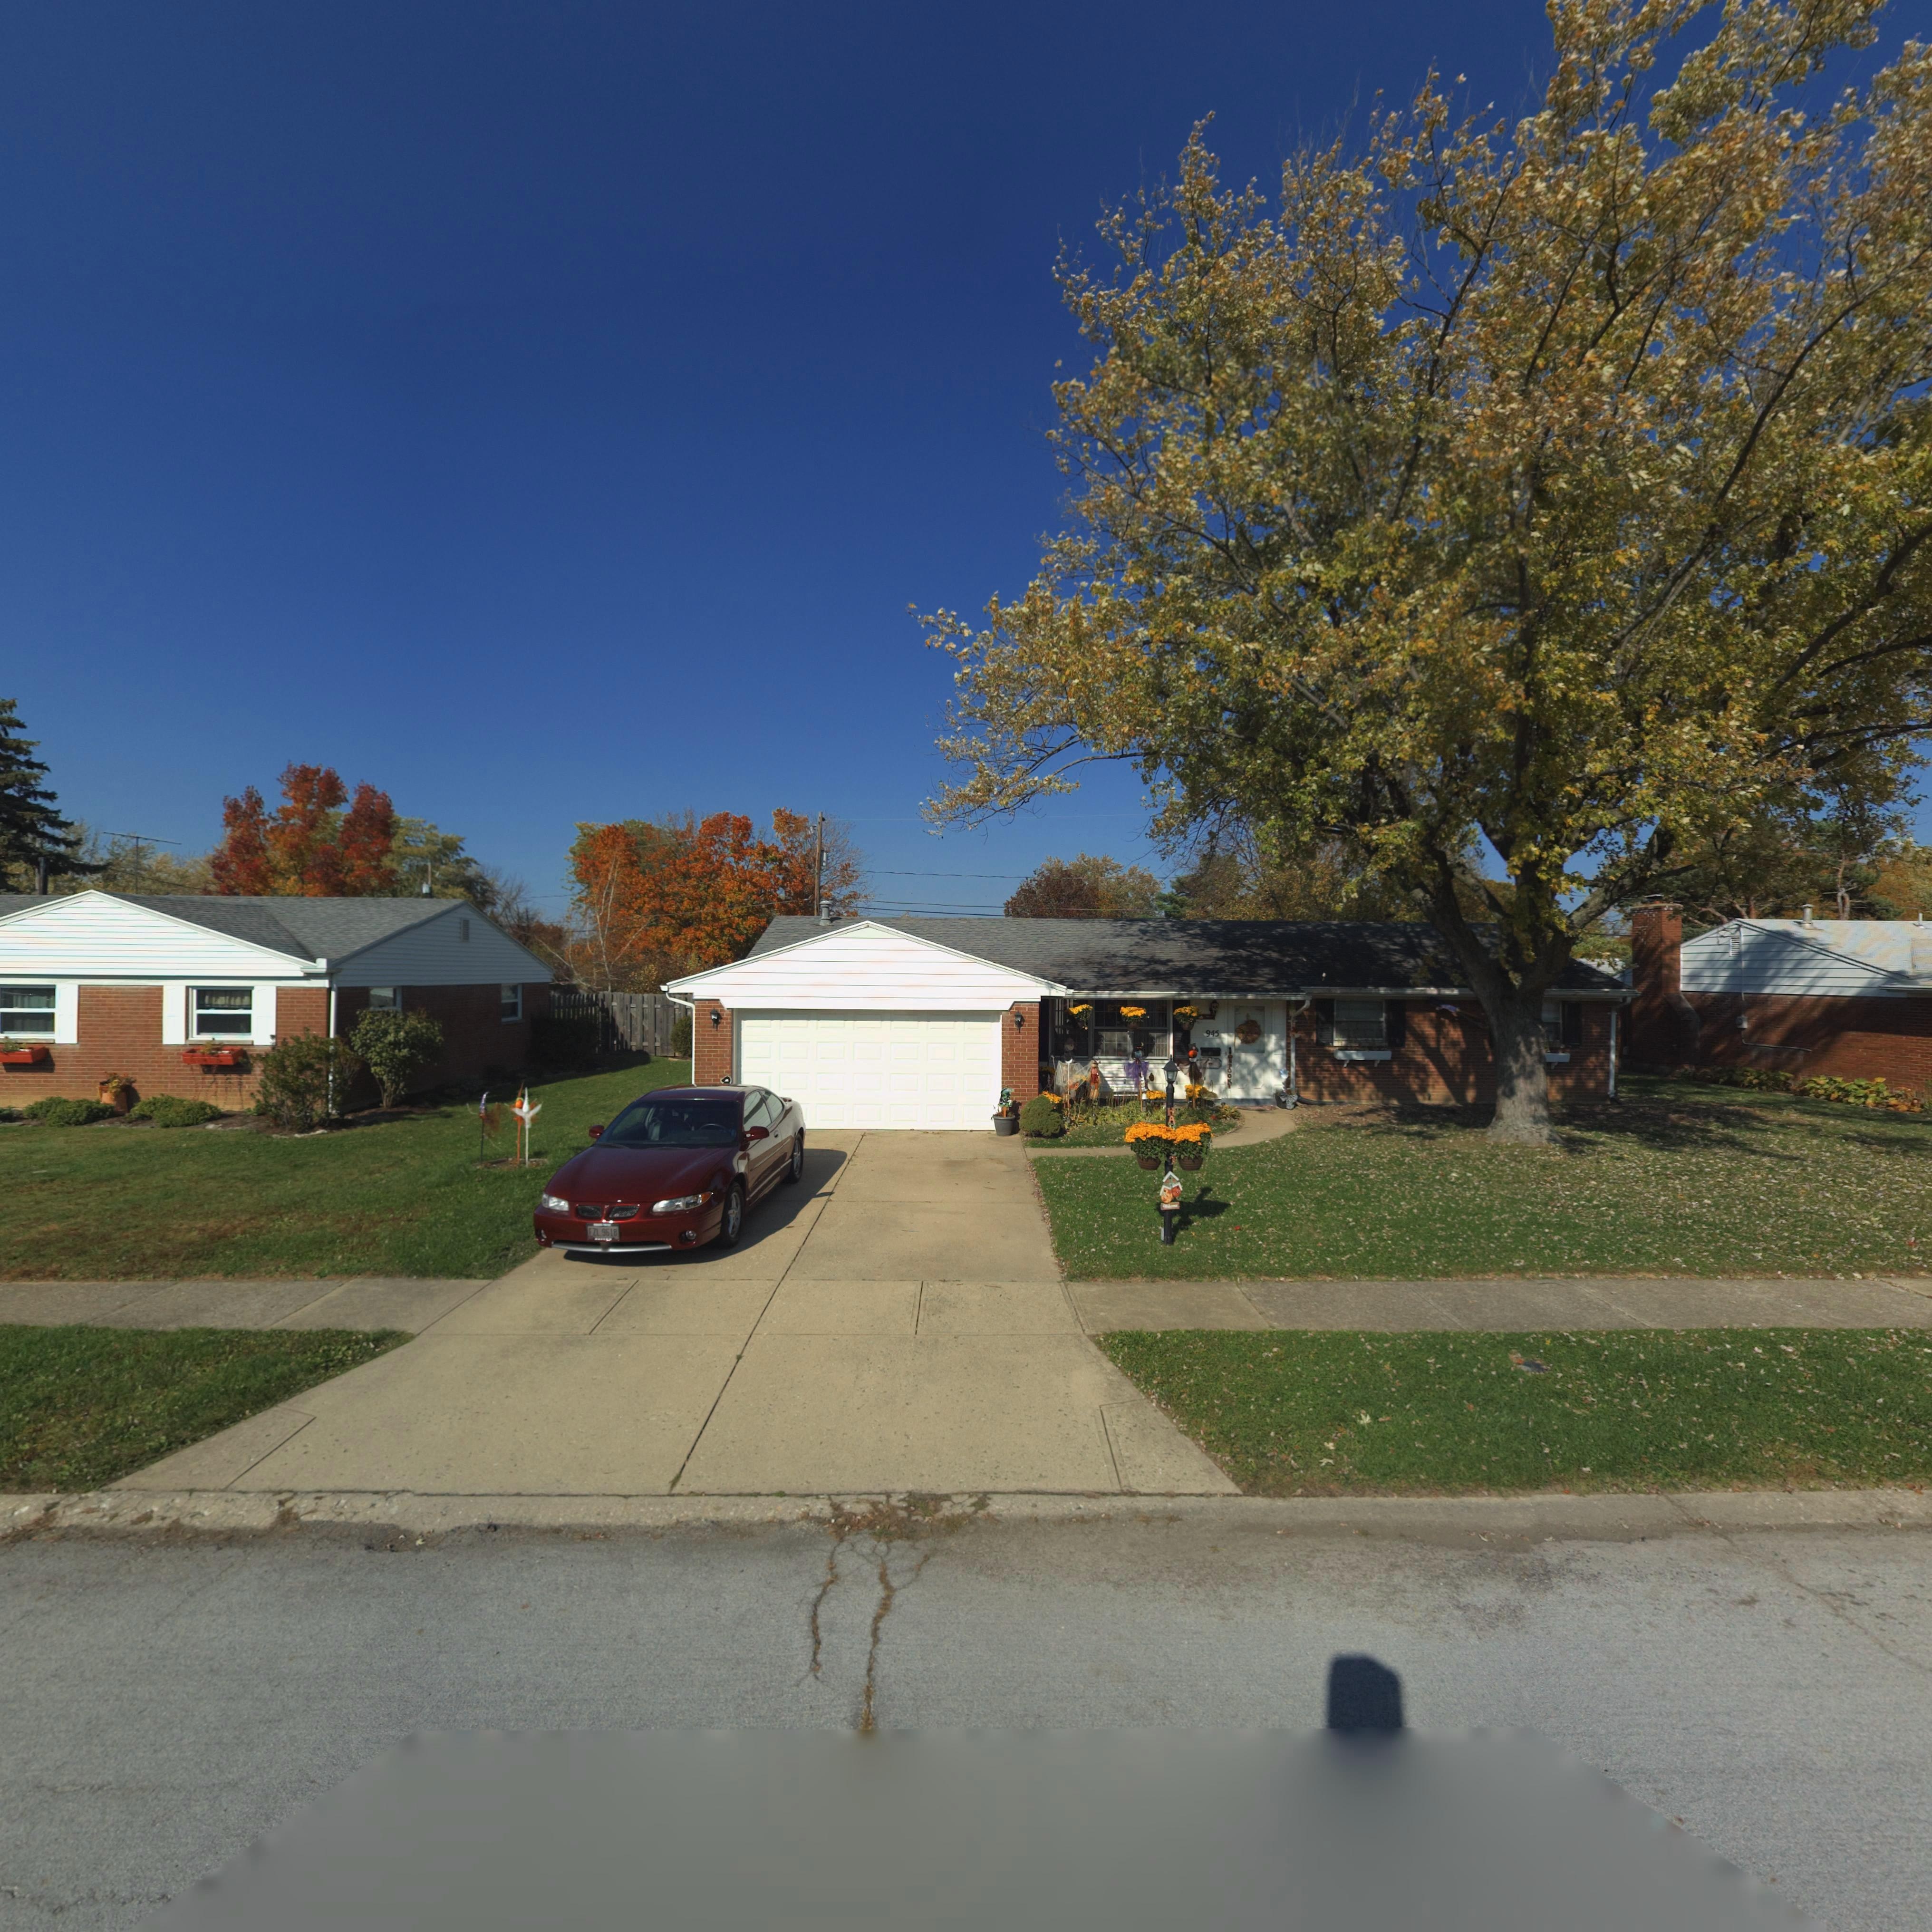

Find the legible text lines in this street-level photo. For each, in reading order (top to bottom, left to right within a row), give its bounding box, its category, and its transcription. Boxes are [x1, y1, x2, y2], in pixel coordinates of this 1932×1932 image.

[1205, 1029, 1220, 1038] StreetNumber: 945
[588, 1227, 618, 1237] None: FZL 9618